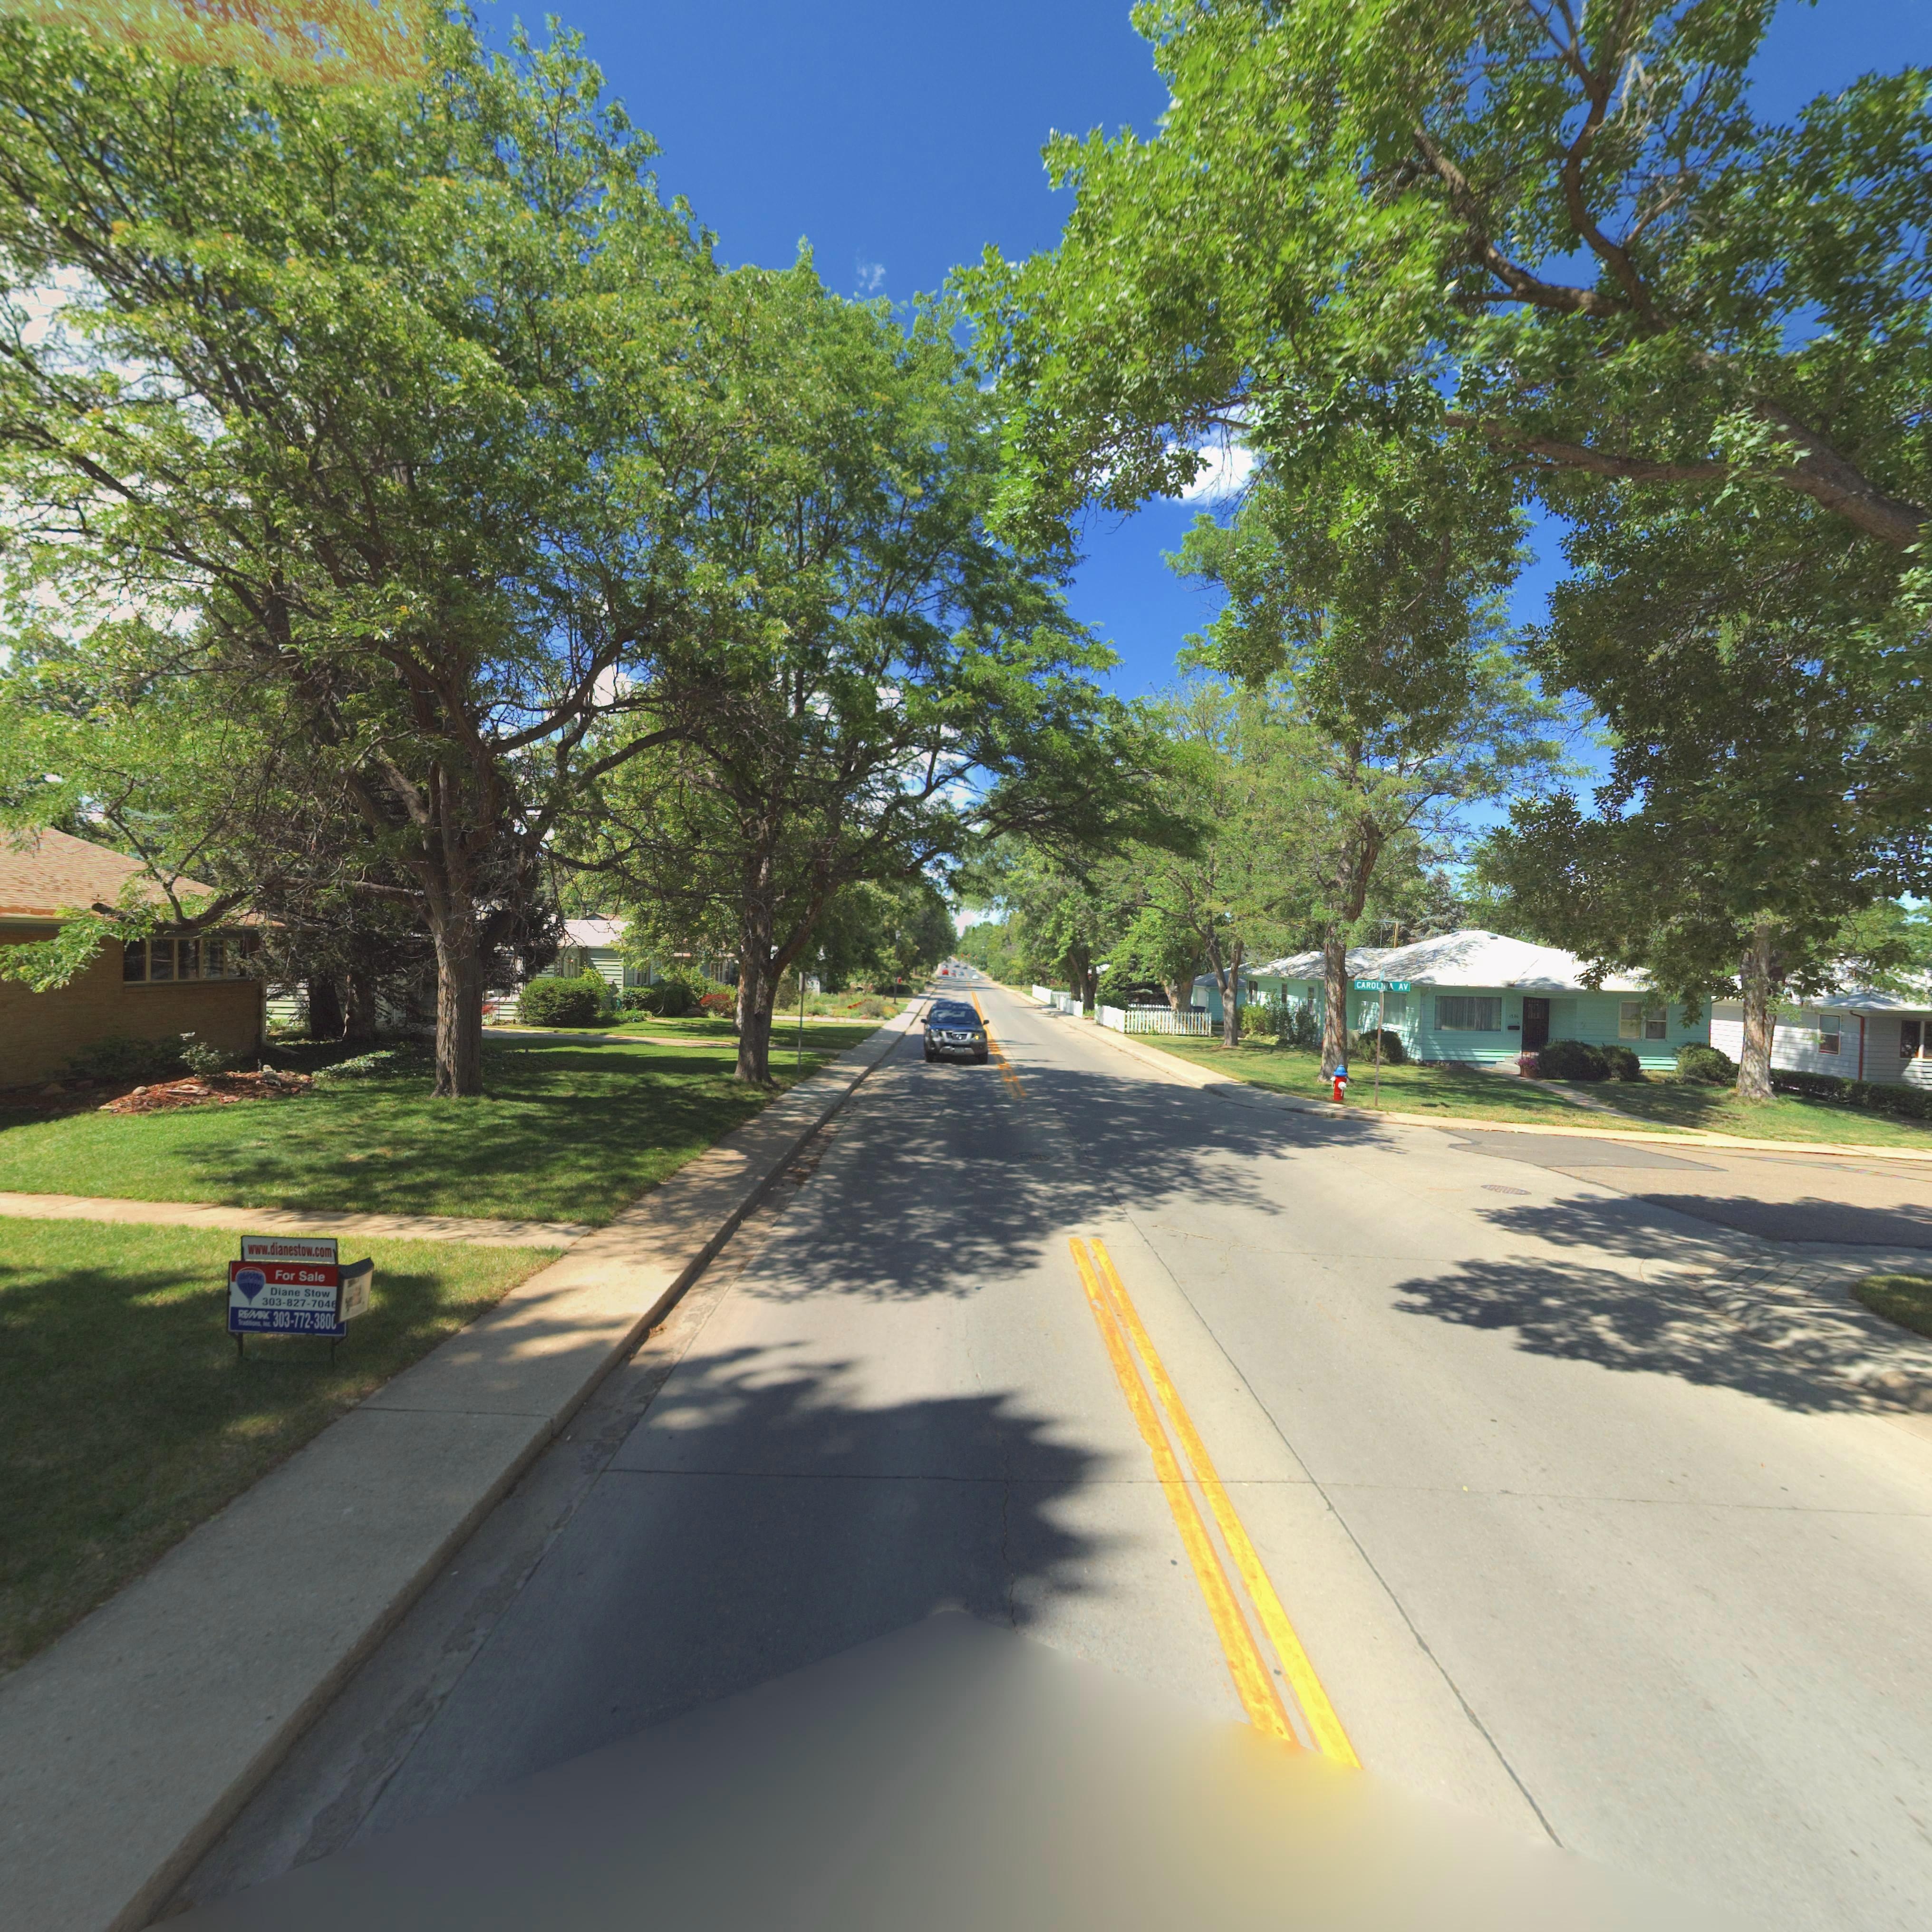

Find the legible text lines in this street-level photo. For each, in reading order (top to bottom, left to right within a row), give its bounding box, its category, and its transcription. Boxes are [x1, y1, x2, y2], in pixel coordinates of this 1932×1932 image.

[1356, 981, 1409, 990] StreetName: CAROLINA AV
[1508, 1014, 1518, 1018] StreetNumber: 1***